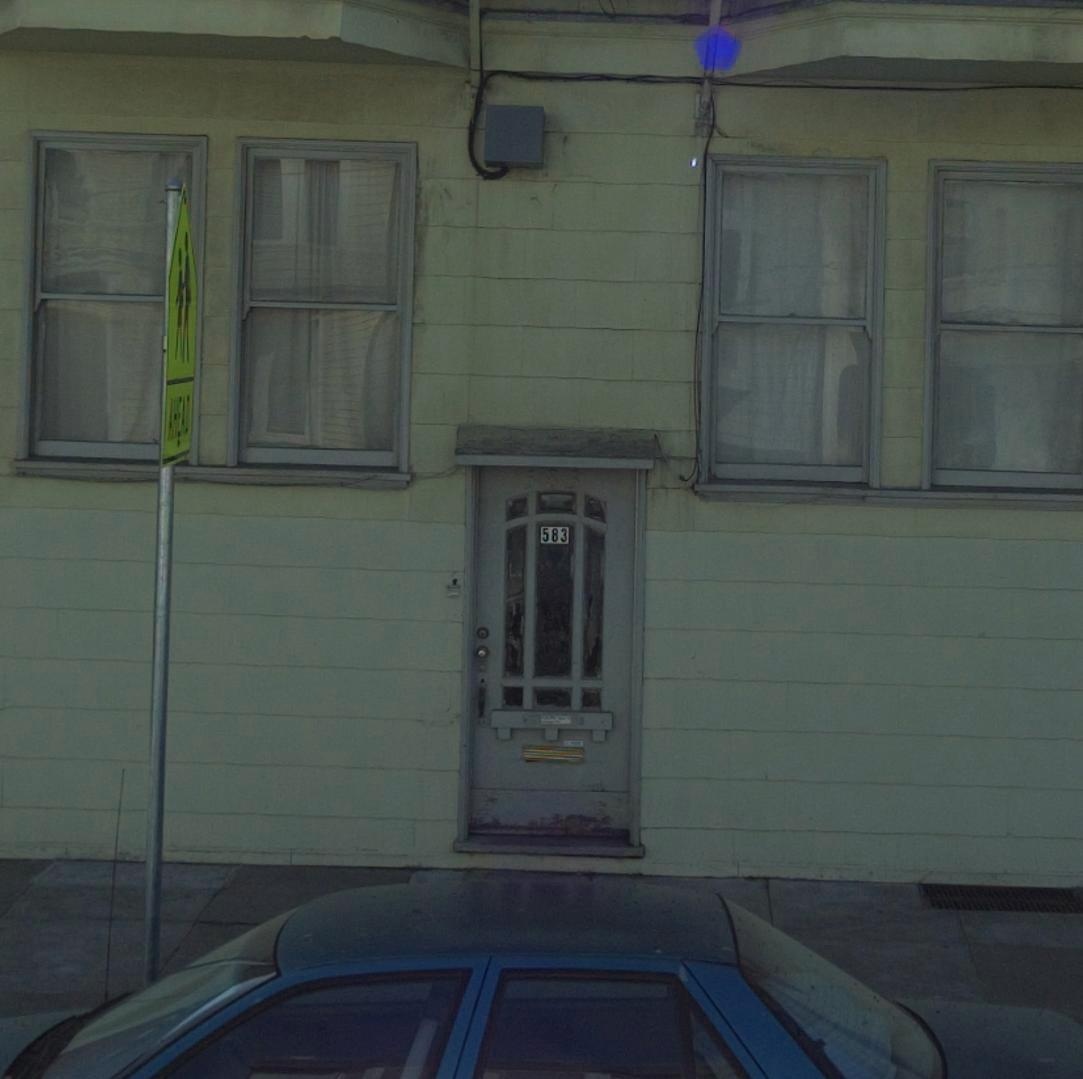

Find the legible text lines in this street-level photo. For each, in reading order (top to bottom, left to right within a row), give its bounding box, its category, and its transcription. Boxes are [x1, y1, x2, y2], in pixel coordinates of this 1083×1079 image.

[167, 394, 190, 442] None: AHEAD
[541, 526, 570, 544] StreetNumber: 583